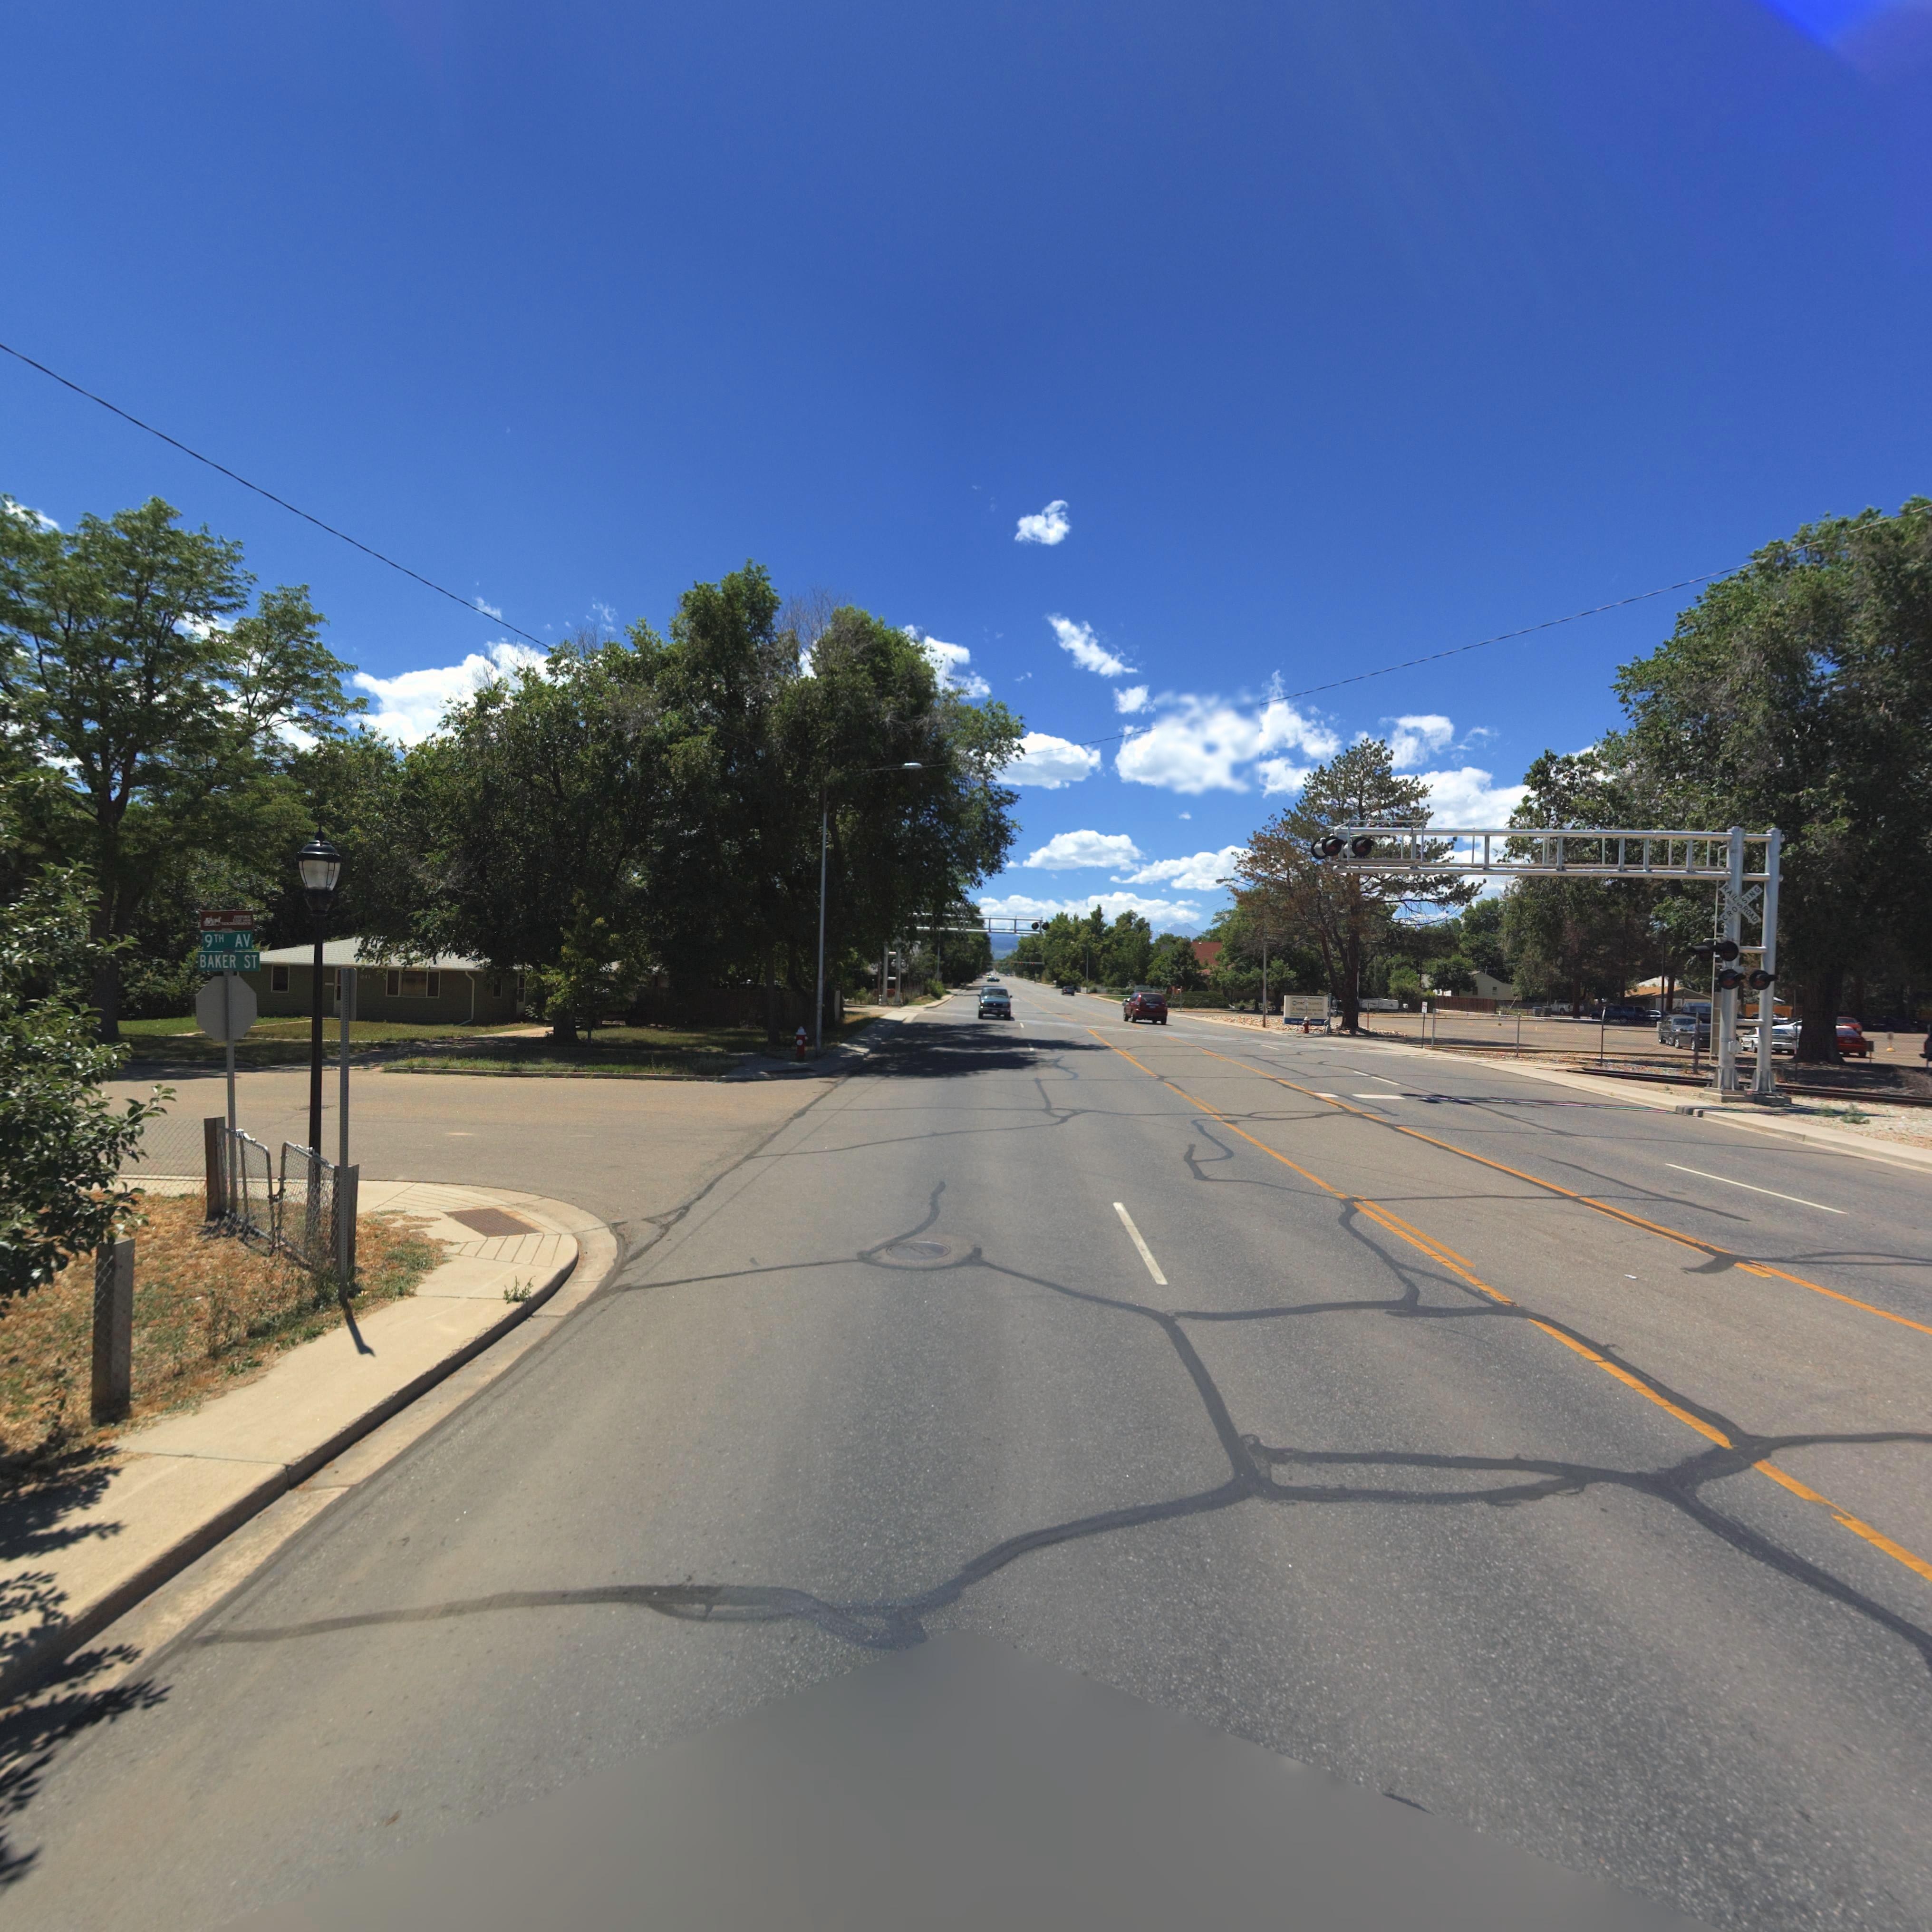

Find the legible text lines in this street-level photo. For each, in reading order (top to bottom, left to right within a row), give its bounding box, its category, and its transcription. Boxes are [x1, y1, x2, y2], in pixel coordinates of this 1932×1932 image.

[204, 933, 250, 948] StreetName: 9TH AV
[200, 954, 257, 969] StreetName: BAKER ST
[359, 974, 370, 979] StreetNumber: 841
[1296, 1002, 1322, 1005] BusinessName: CIRC***R**HICS